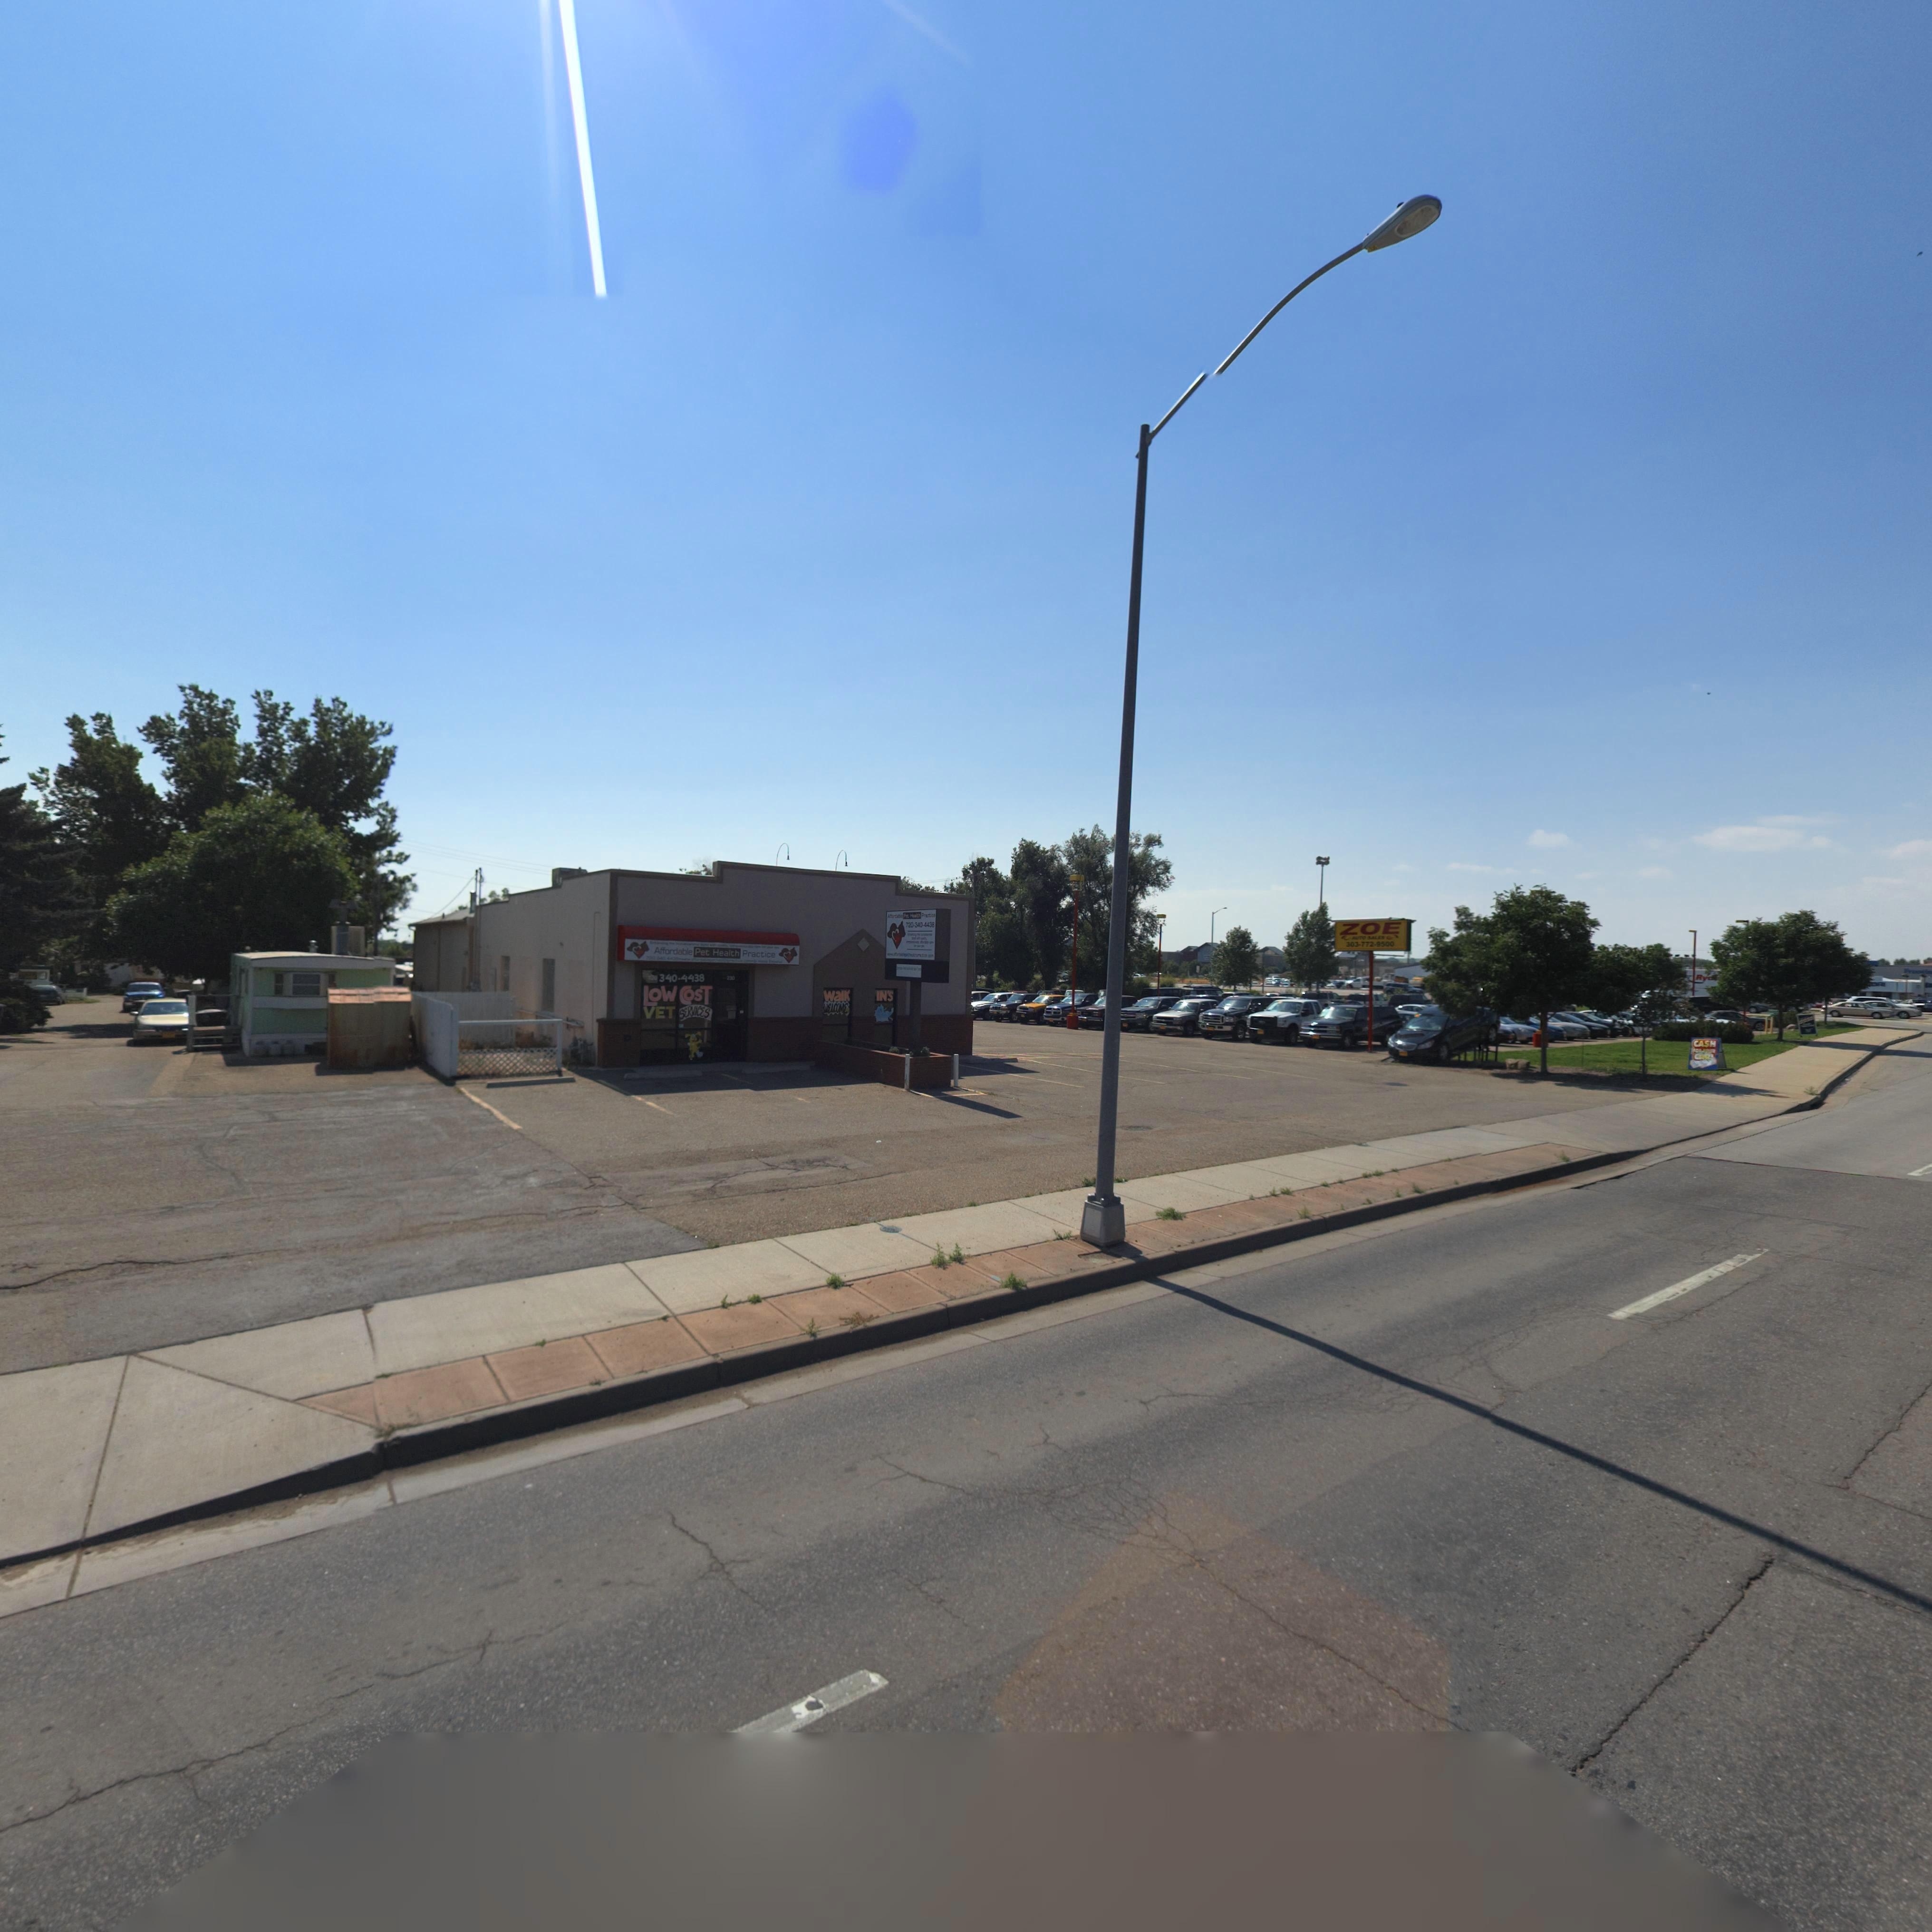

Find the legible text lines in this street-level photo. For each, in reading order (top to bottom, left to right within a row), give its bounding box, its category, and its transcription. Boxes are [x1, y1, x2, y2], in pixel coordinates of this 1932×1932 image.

[887, 912, 936, 919] BusinessName: A**o****le Pet H***th Pr**t***
[1339, 921, 1402, 936] BusinessName: ZOE
[1351, 935, 1385, 940] BusinessName: AUTO SALES
[653, 947, 775, 958] BusinessName: Affordable Pet Health Practice
[726, 975, 735, 980] StreetNumber: 230